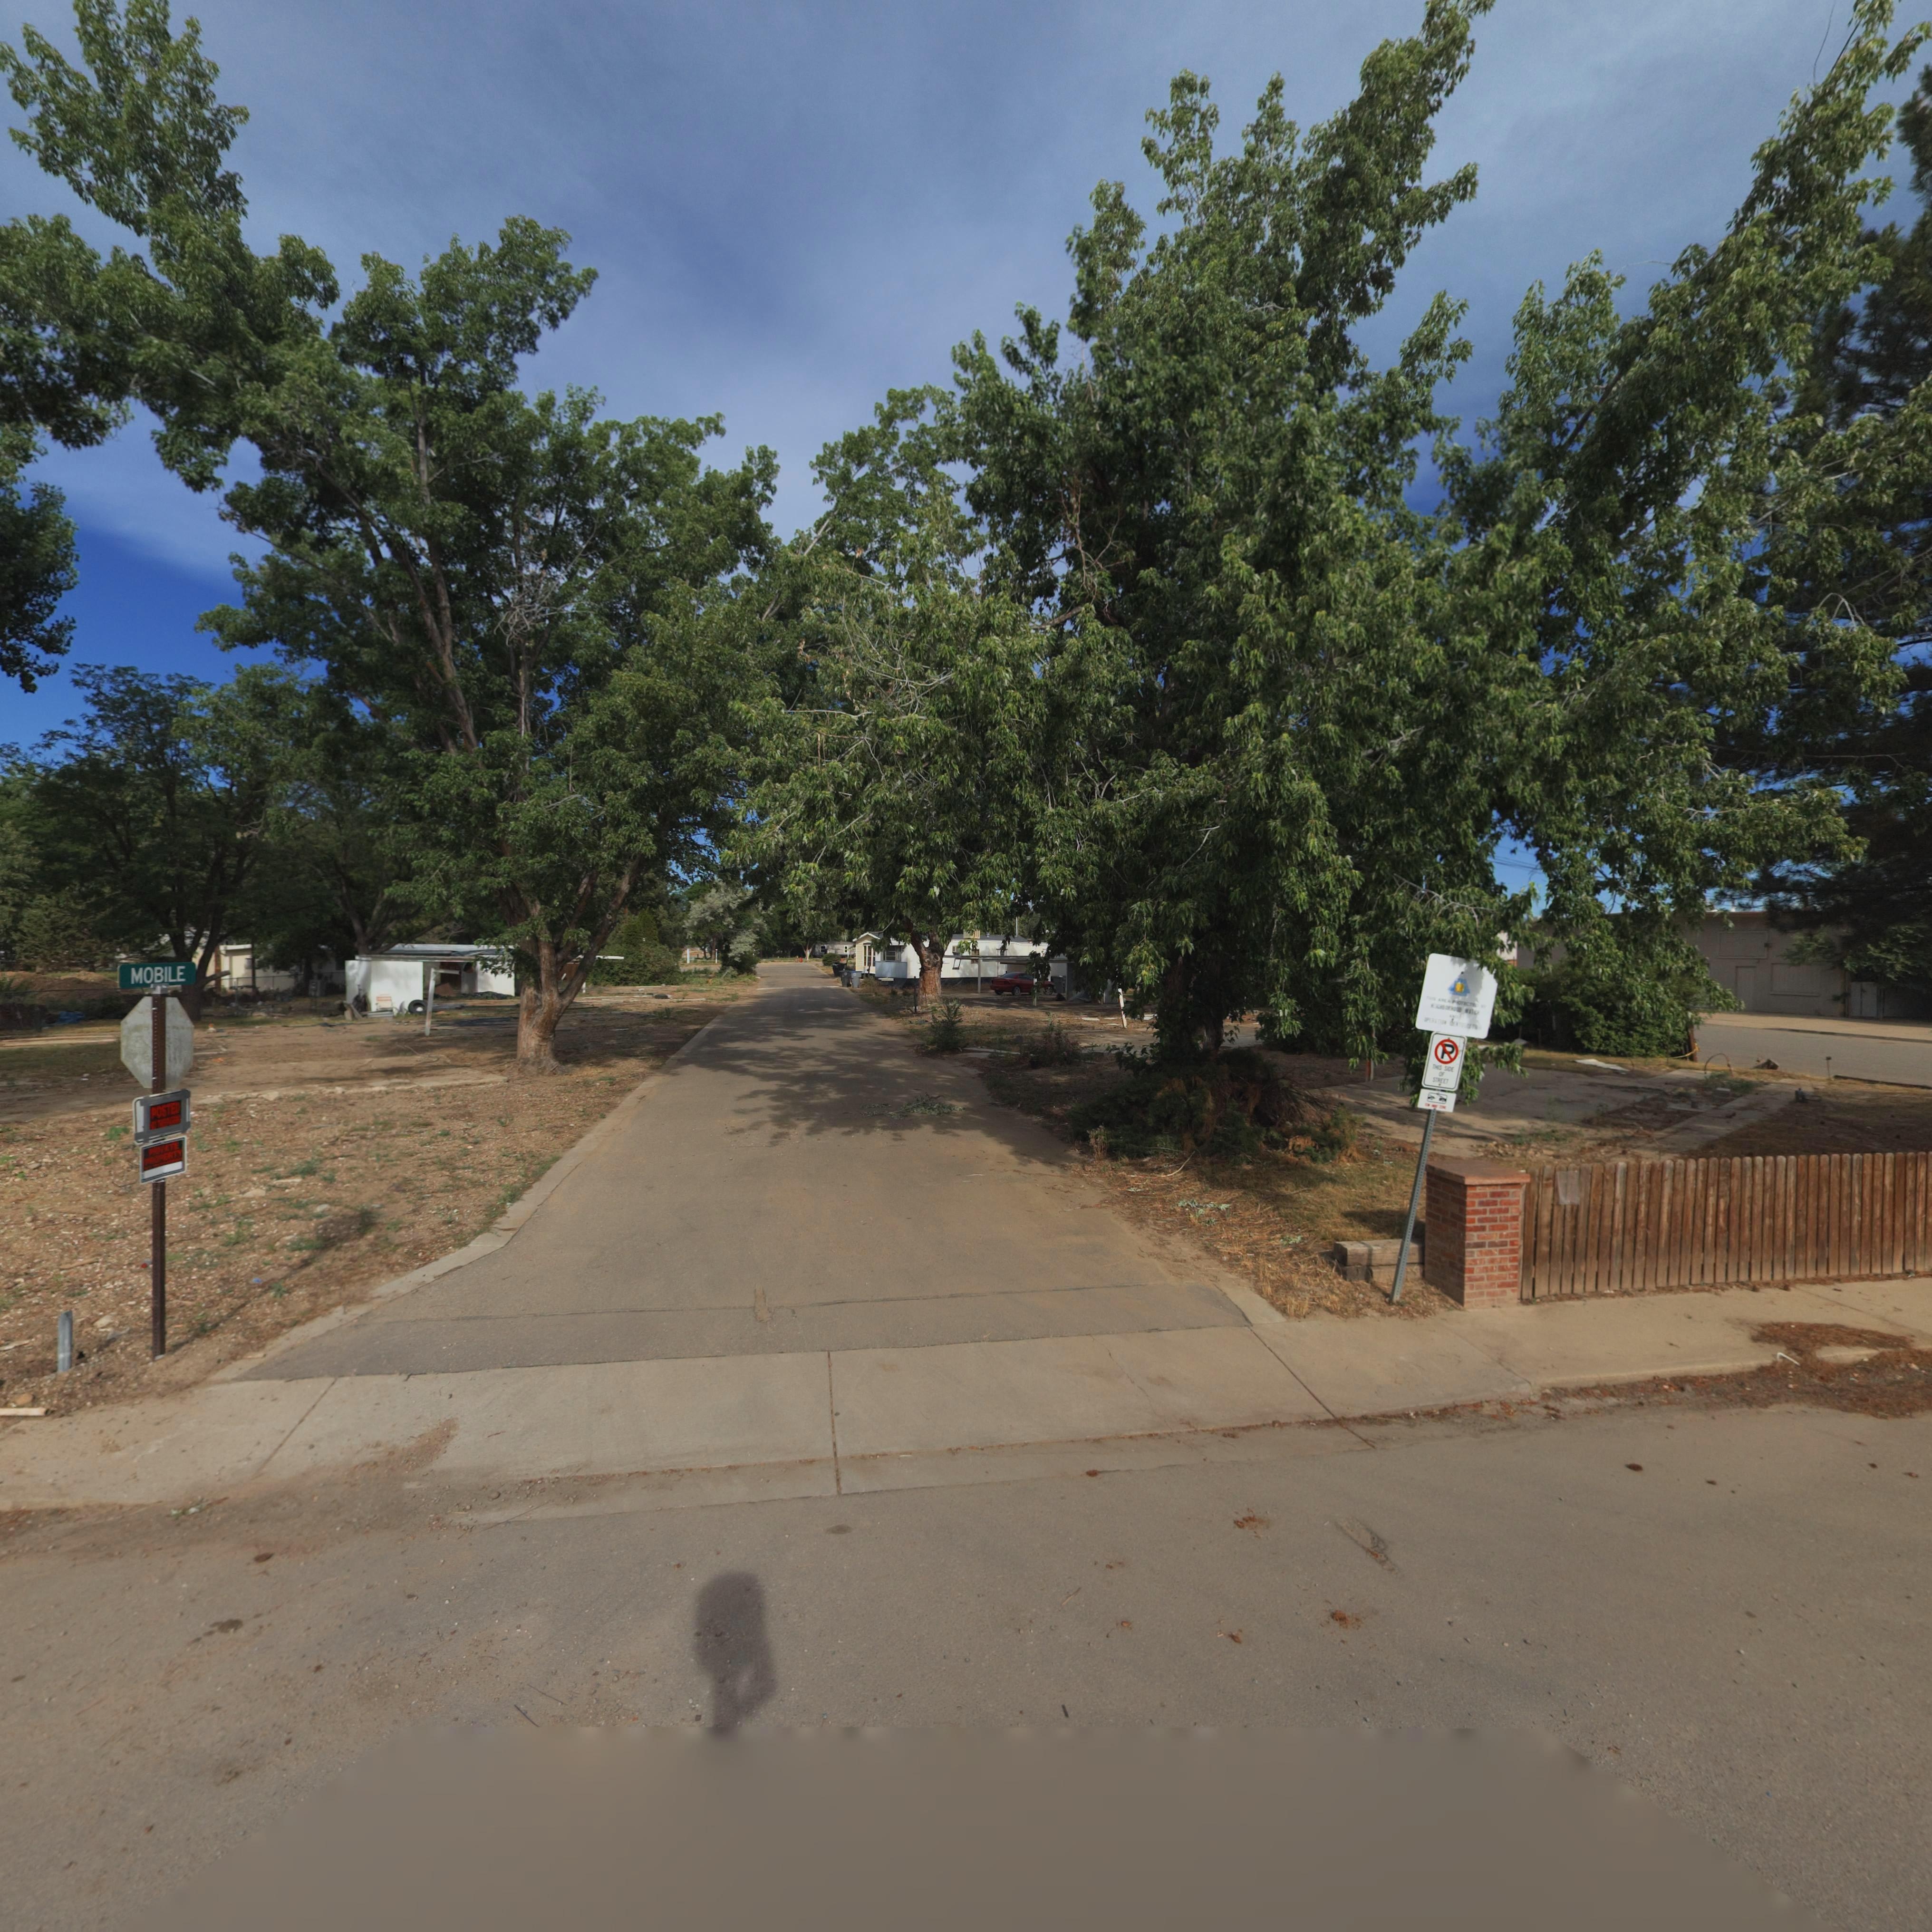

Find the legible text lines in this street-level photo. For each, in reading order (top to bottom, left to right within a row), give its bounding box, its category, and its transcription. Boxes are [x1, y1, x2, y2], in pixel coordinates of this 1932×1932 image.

[129, 965, 186, 985] StreetName: MOBILE